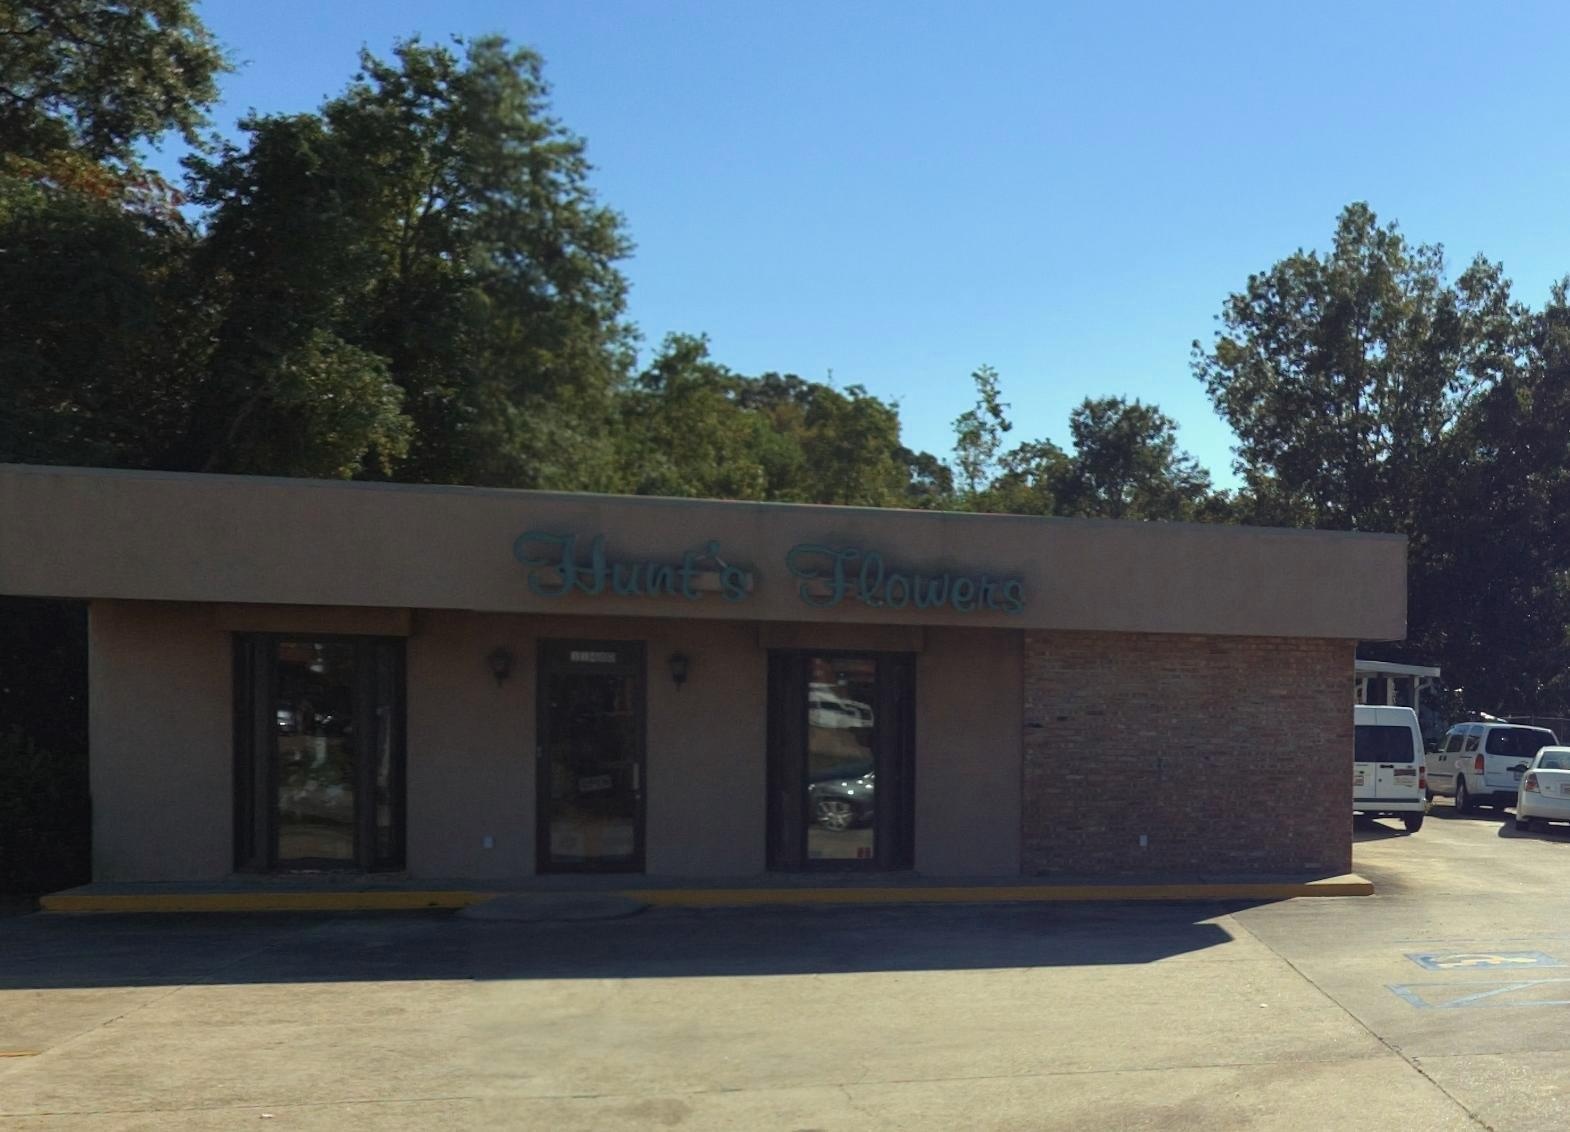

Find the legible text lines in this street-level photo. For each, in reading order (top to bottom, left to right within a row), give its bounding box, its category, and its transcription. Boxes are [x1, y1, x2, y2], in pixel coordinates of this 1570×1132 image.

[509, 522, 1032, 620] BusinessName: Hunt's Flowers